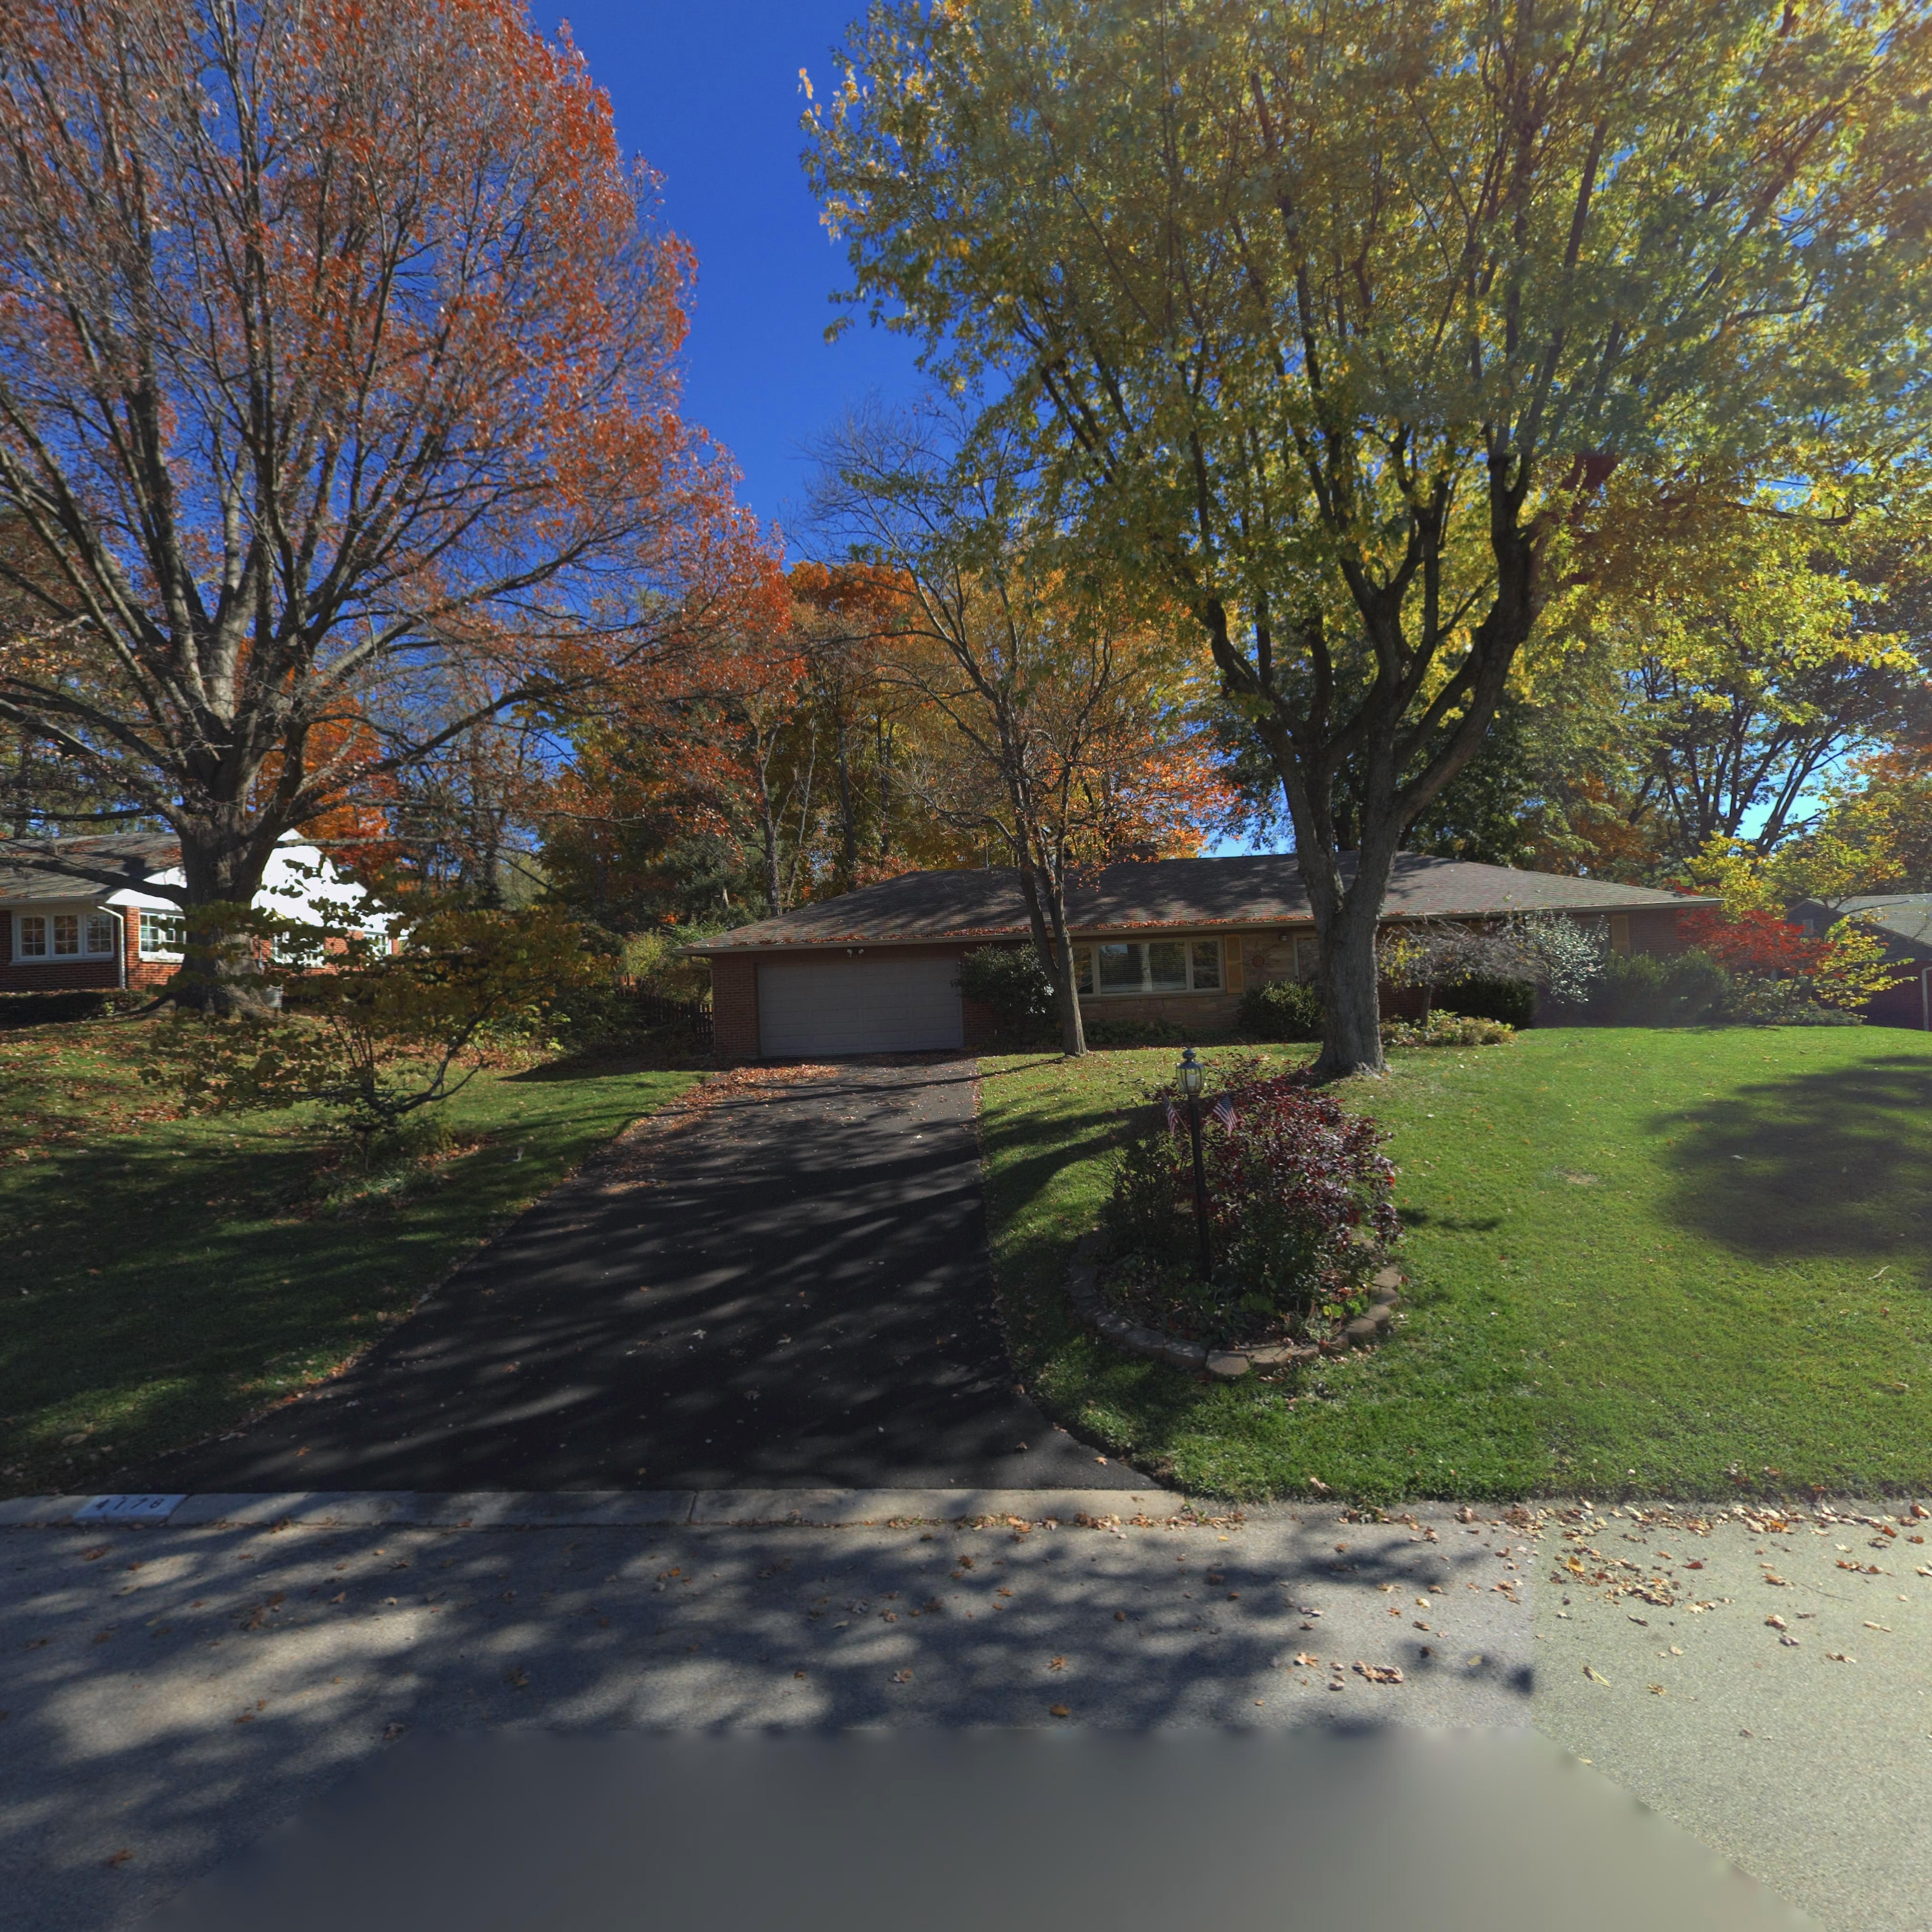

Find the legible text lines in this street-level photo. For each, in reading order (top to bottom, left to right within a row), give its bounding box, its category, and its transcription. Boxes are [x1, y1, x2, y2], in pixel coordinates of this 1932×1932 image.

[95, 1497, 165, 1510] StreetNumber: 4178